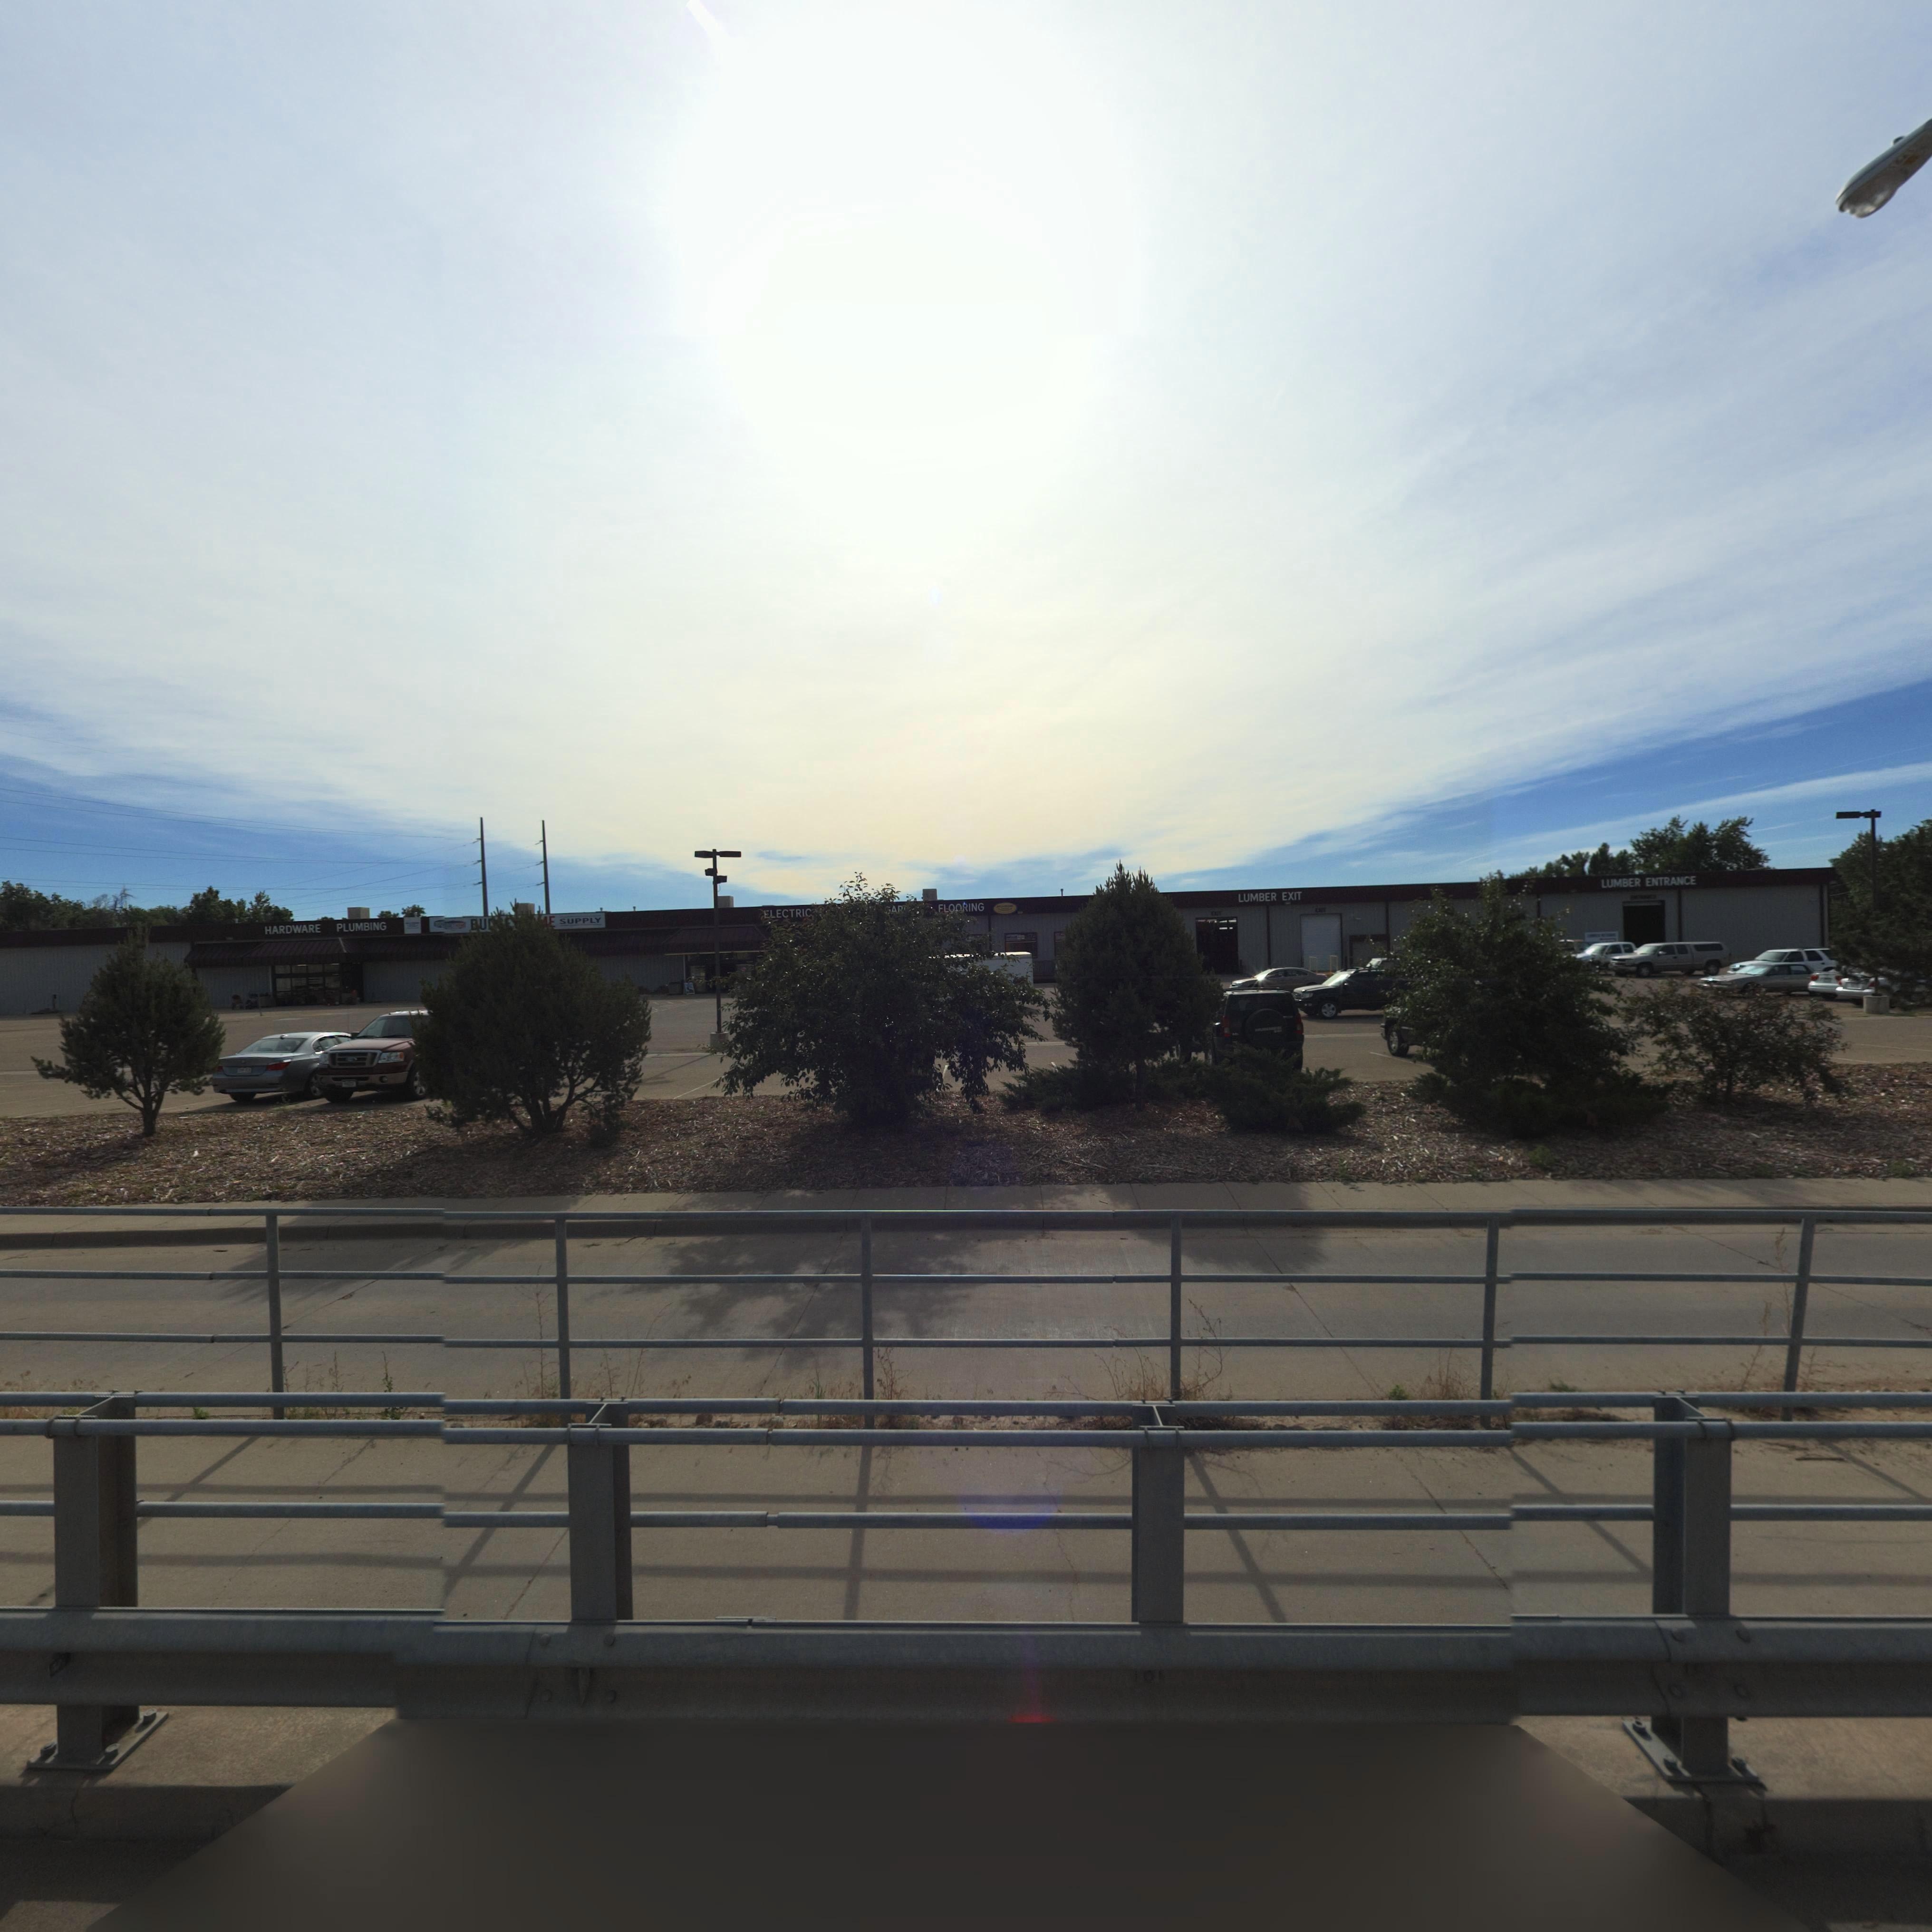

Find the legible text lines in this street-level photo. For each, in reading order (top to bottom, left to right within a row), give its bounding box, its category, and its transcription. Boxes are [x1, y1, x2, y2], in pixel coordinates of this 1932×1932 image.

[470, 915, 556, 930] BusinessName: BU*******E
[559, 917, 602, 925] BusinessName: SUPPY